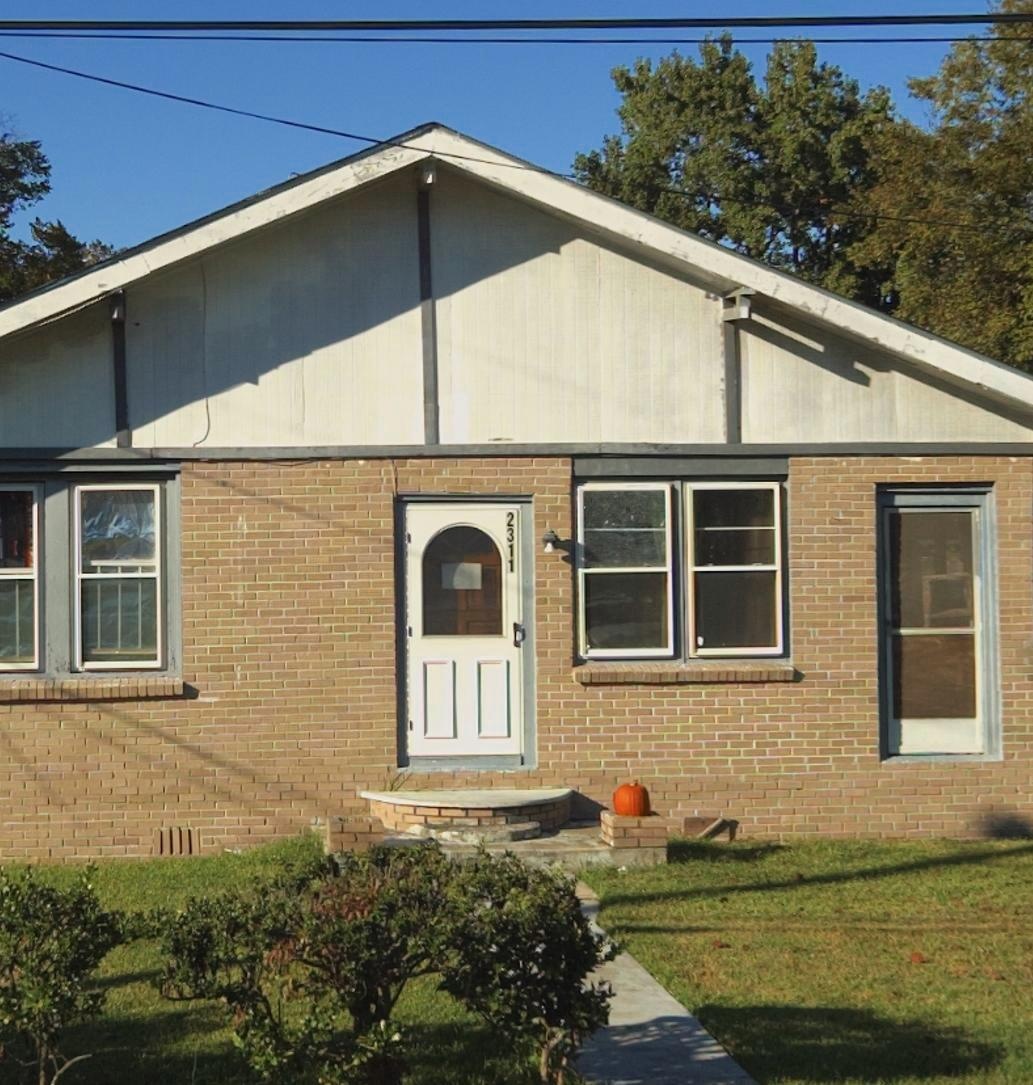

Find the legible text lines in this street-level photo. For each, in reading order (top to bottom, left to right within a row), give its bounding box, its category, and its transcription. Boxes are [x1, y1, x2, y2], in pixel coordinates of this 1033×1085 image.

[506, 510, 516, 575] StreetNumber: 2311